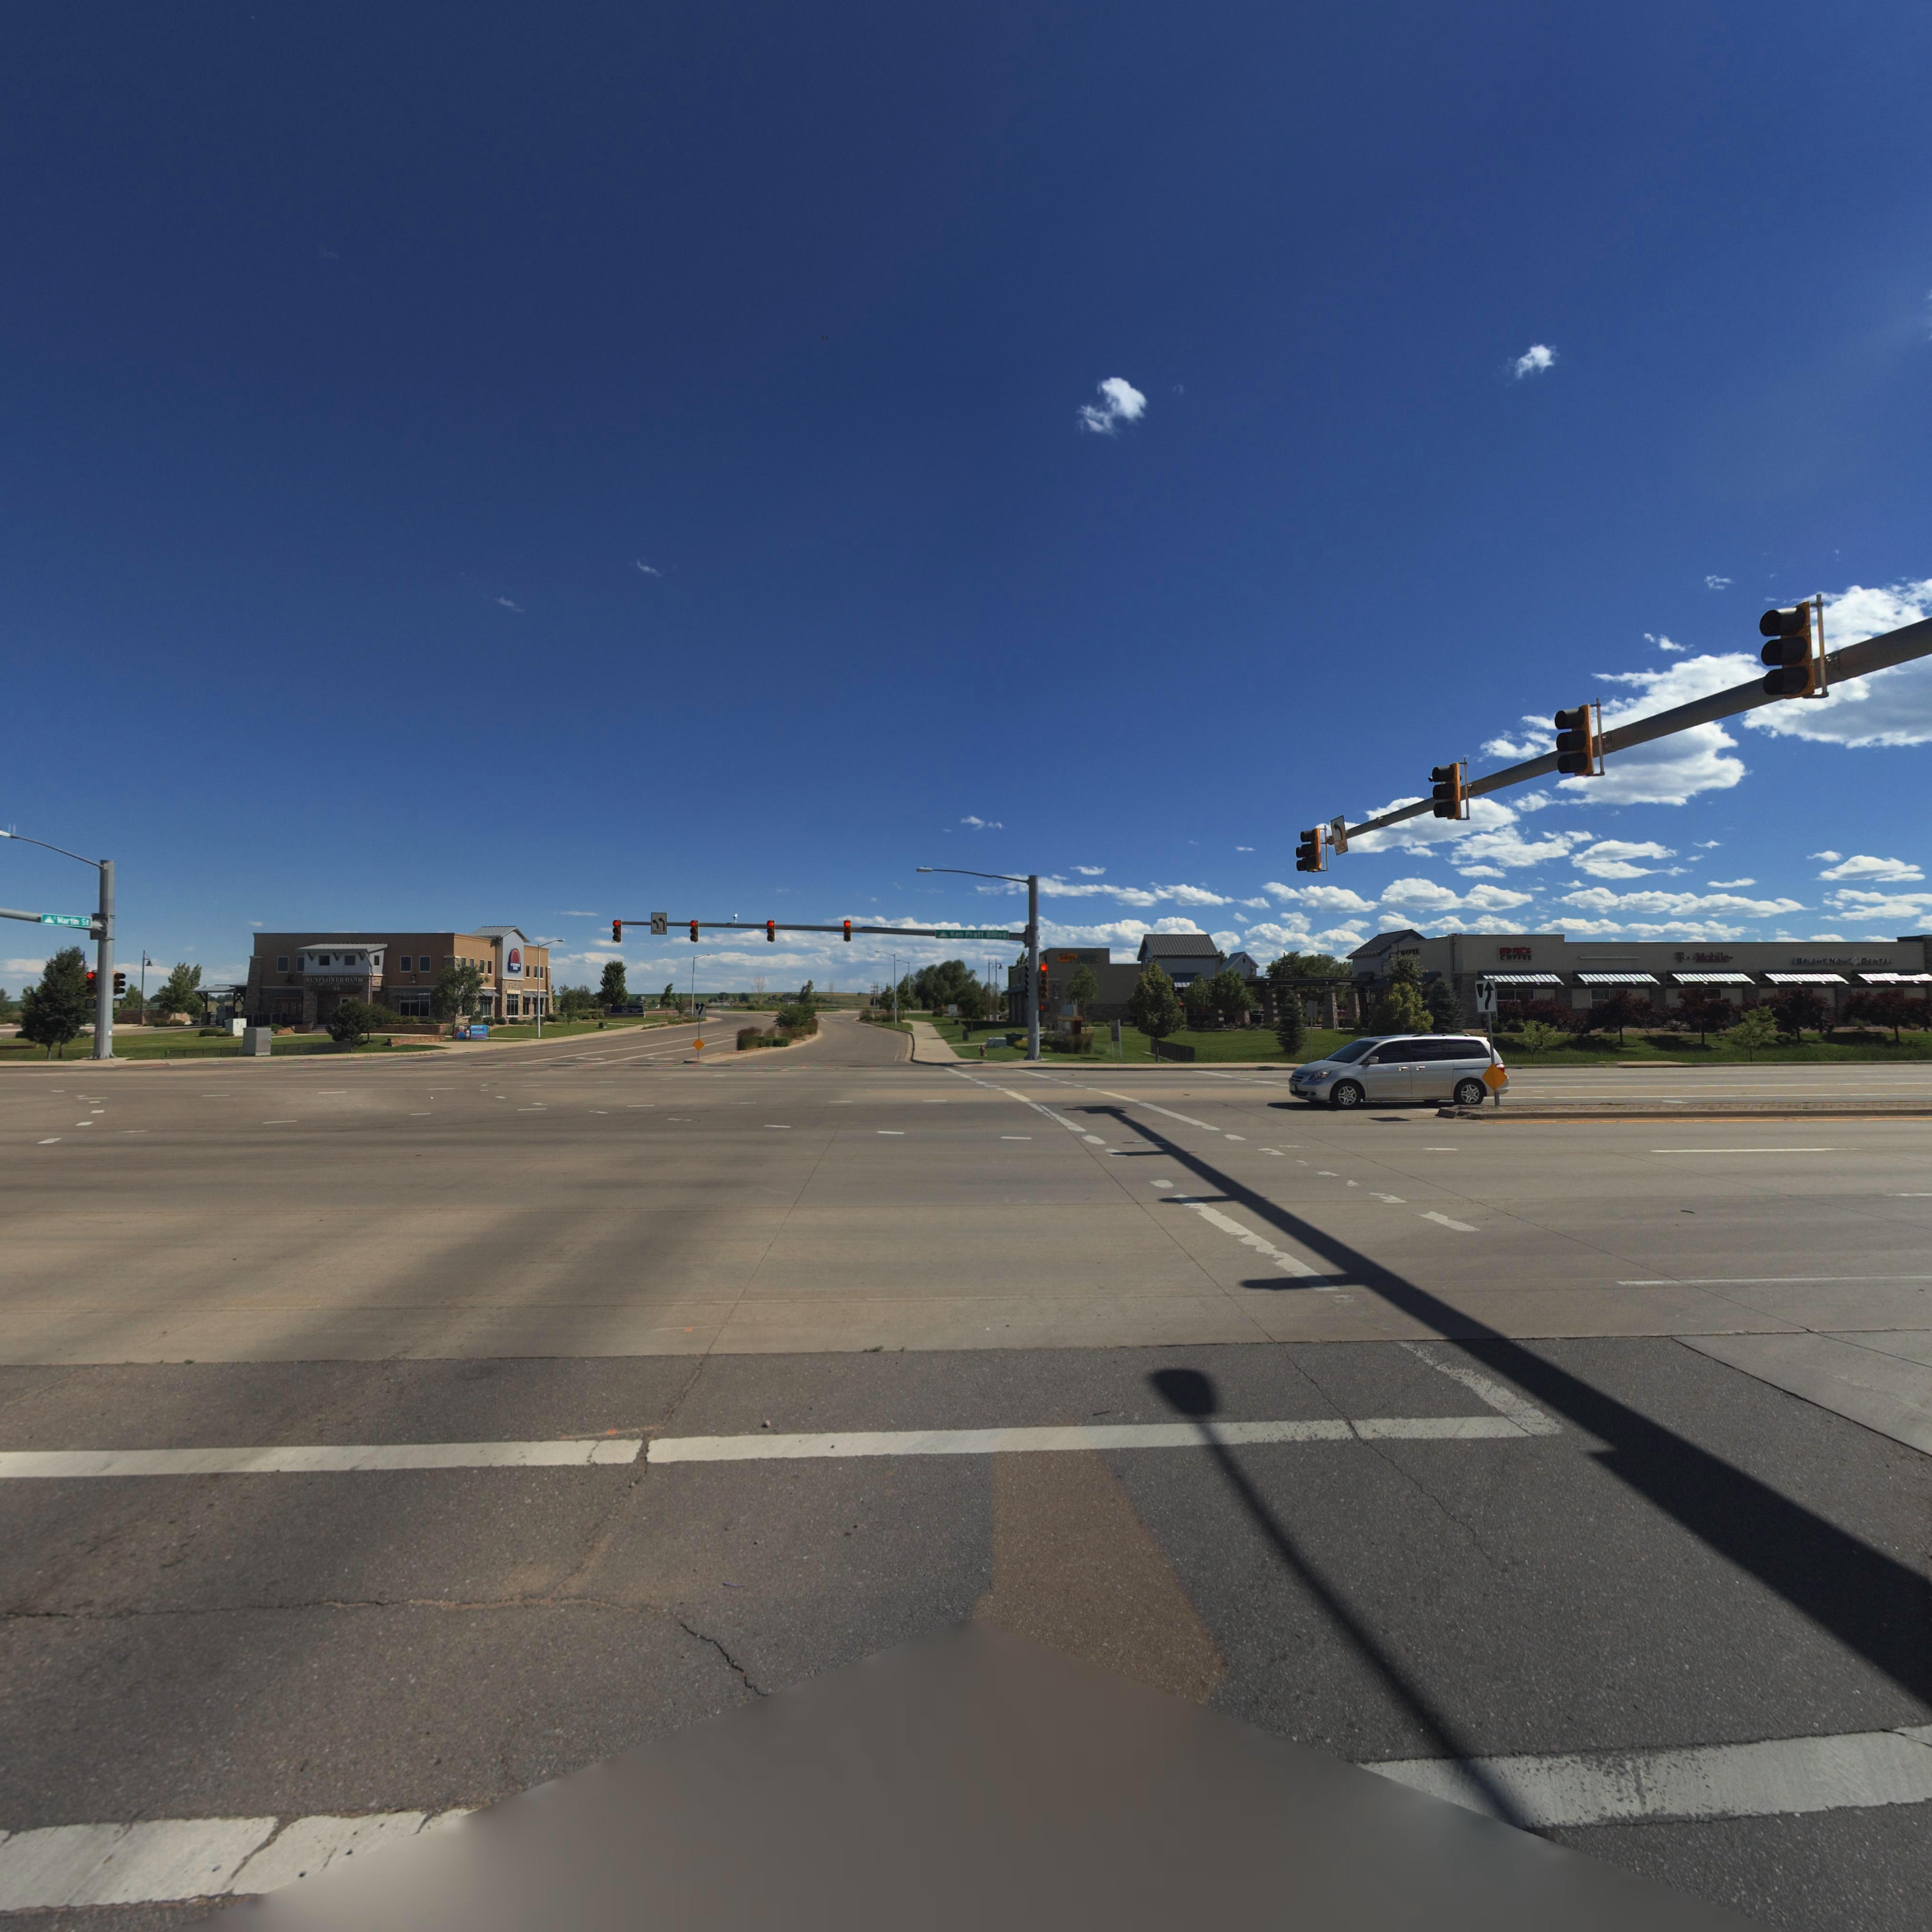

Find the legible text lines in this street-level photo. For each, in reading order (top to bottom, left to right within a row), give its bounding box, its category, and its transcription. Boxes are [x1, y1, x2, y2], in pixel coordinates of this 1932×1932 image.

[57, 916, 90, 926] StreetName: Martin St
[949, 930, 1006, 938] StreetName: Ken Pratt BBlvd
[1499, 947, 1531, 954] BusinessName: RED *****
[1059, 952, 1077, 963] BusinessName: Tokyo
[1499, 954, 1532, 960] BusinessName: COFFEE
[1673, 951, 1730, 963] BusinessName: T Mobile
[1794, 956, 1895, 966] BusinessName: BRIGHT NOW* DENTAL
[305, 976, 364, 983] BusinessName: SUNFLOWER BANK
[333, 985, 340, 991] StreetNumber: 25